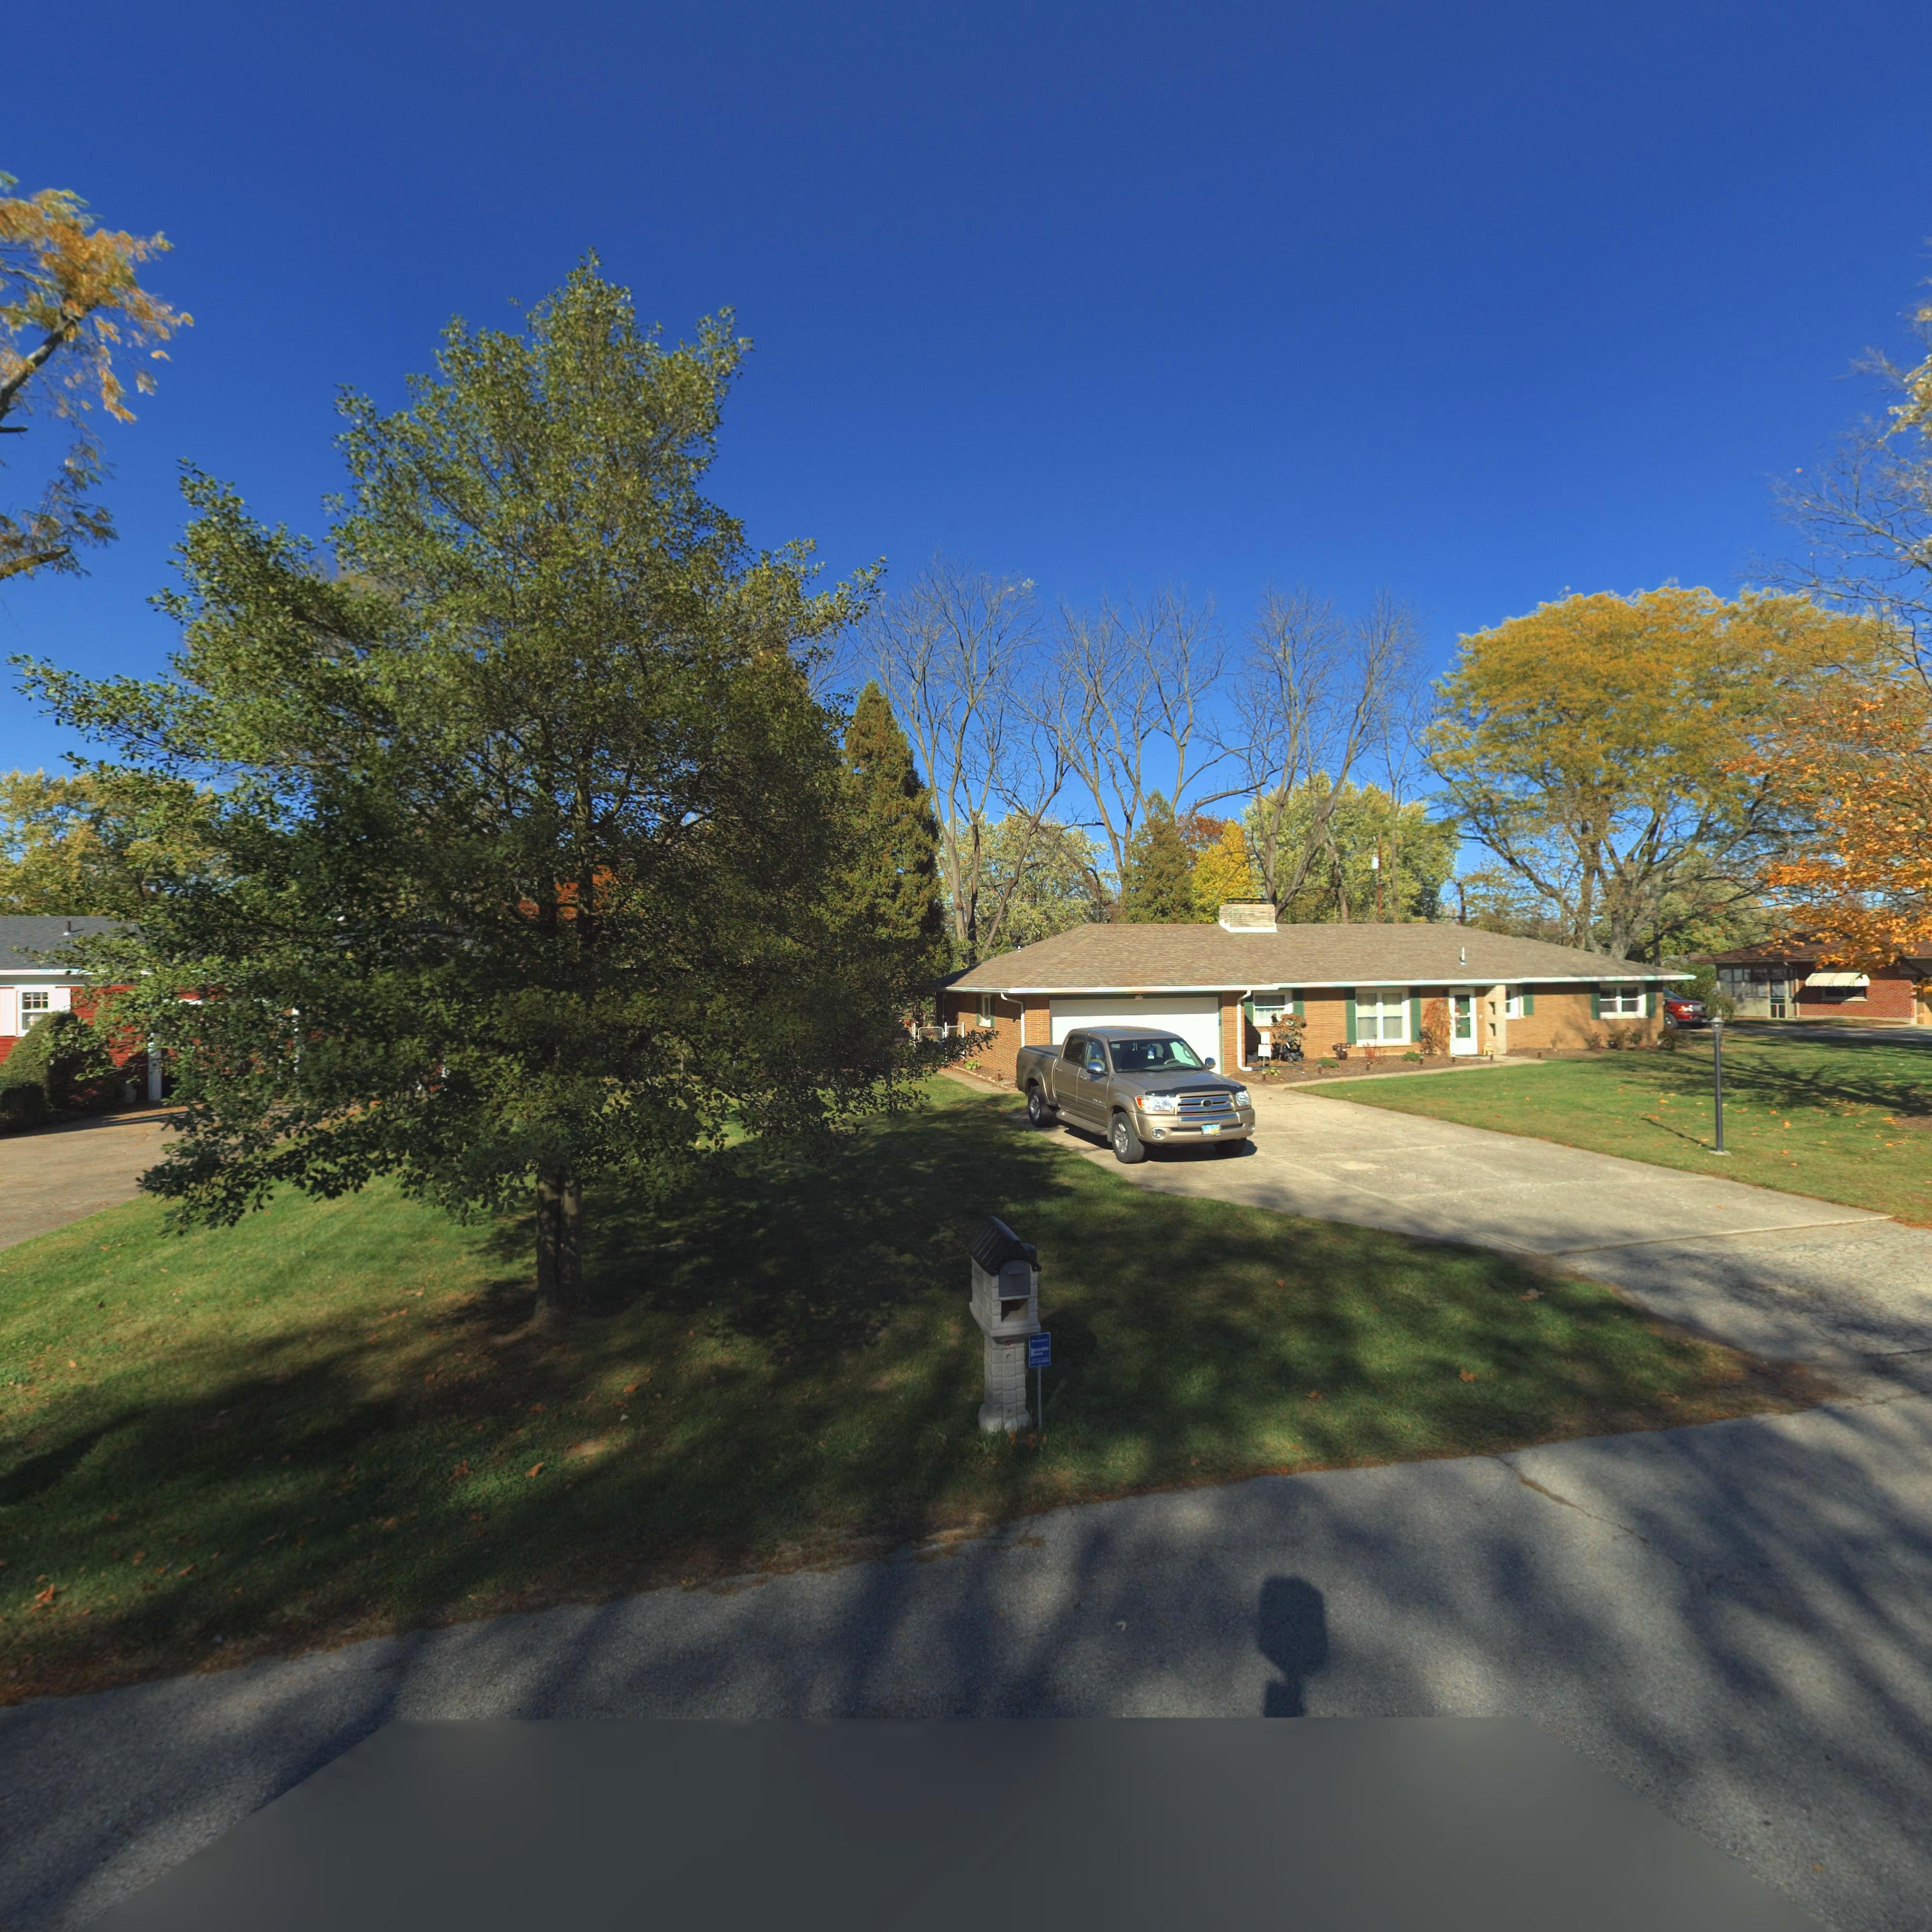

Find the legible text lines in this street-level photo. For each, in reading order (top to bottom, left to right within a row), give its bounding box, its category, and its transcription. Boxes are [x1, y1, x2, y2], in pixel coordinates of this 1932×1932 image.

[973, 1269, 982, 1284] StreetNumber: **9